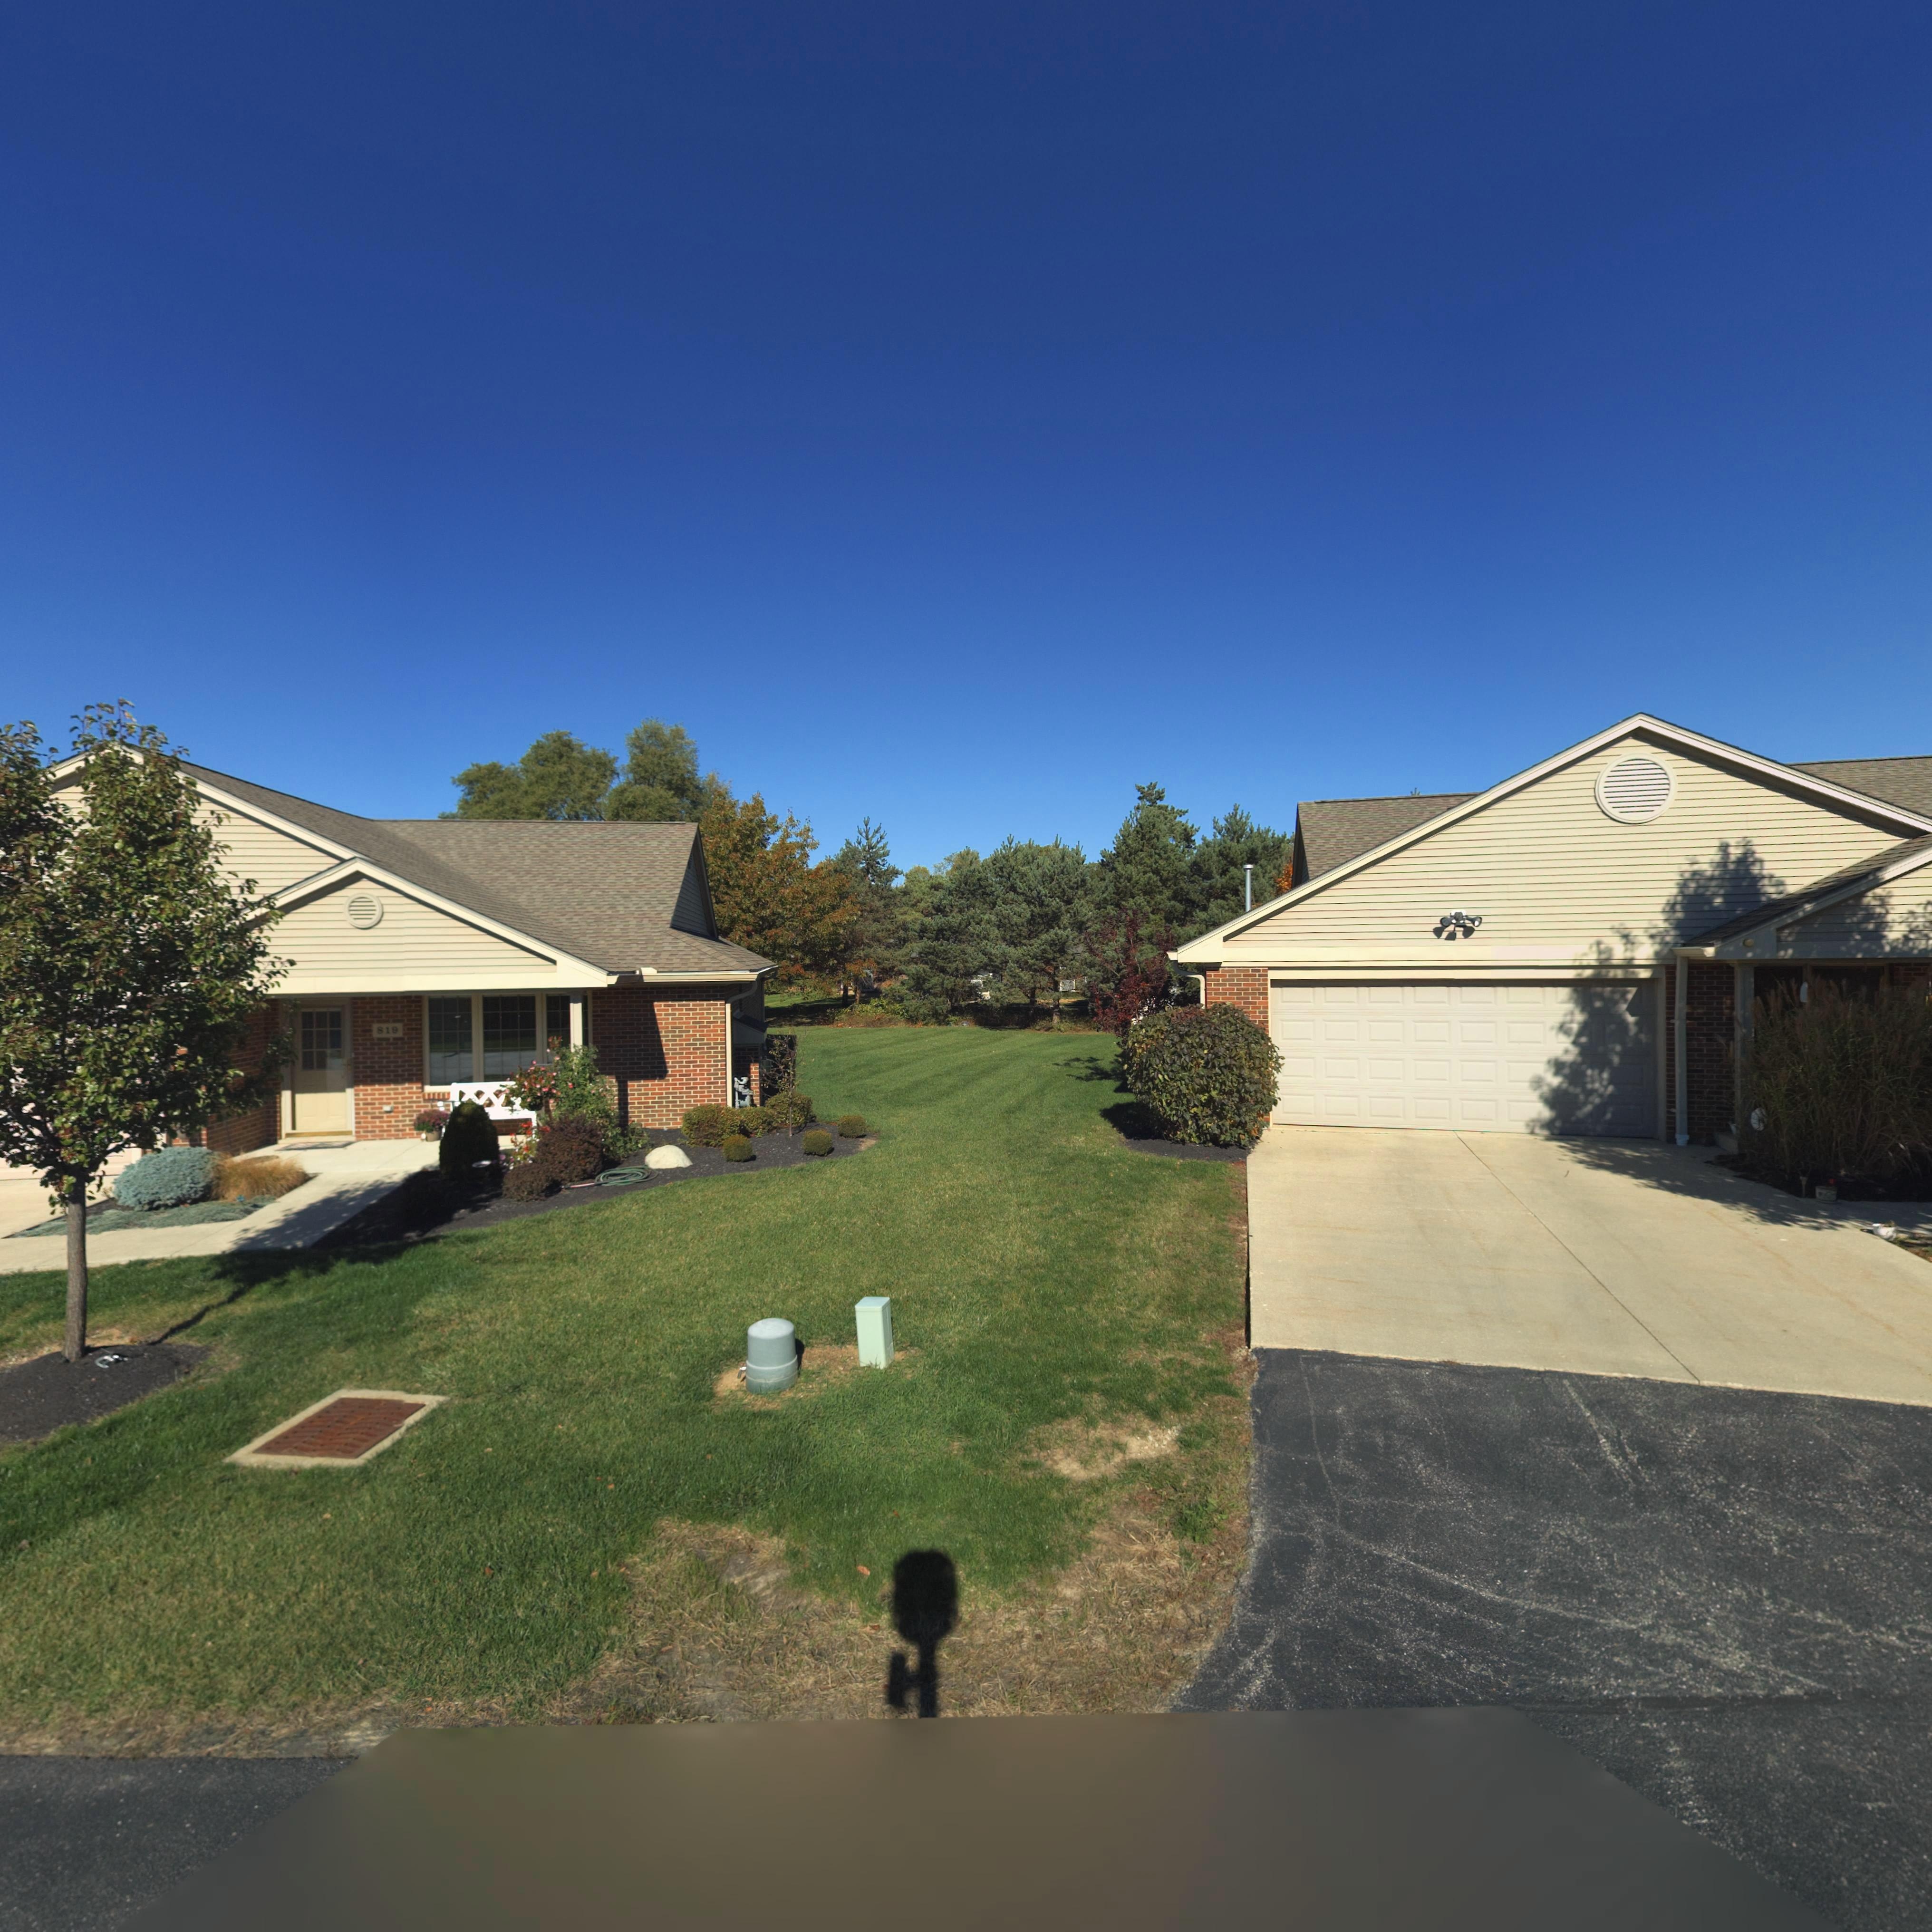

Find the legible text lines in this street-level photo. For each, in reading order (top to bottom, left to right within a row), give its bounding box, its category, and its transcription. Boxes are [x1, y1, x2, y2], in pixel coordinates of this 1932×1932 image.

[376, 1025, 399, 1034] StreetNumber: 819